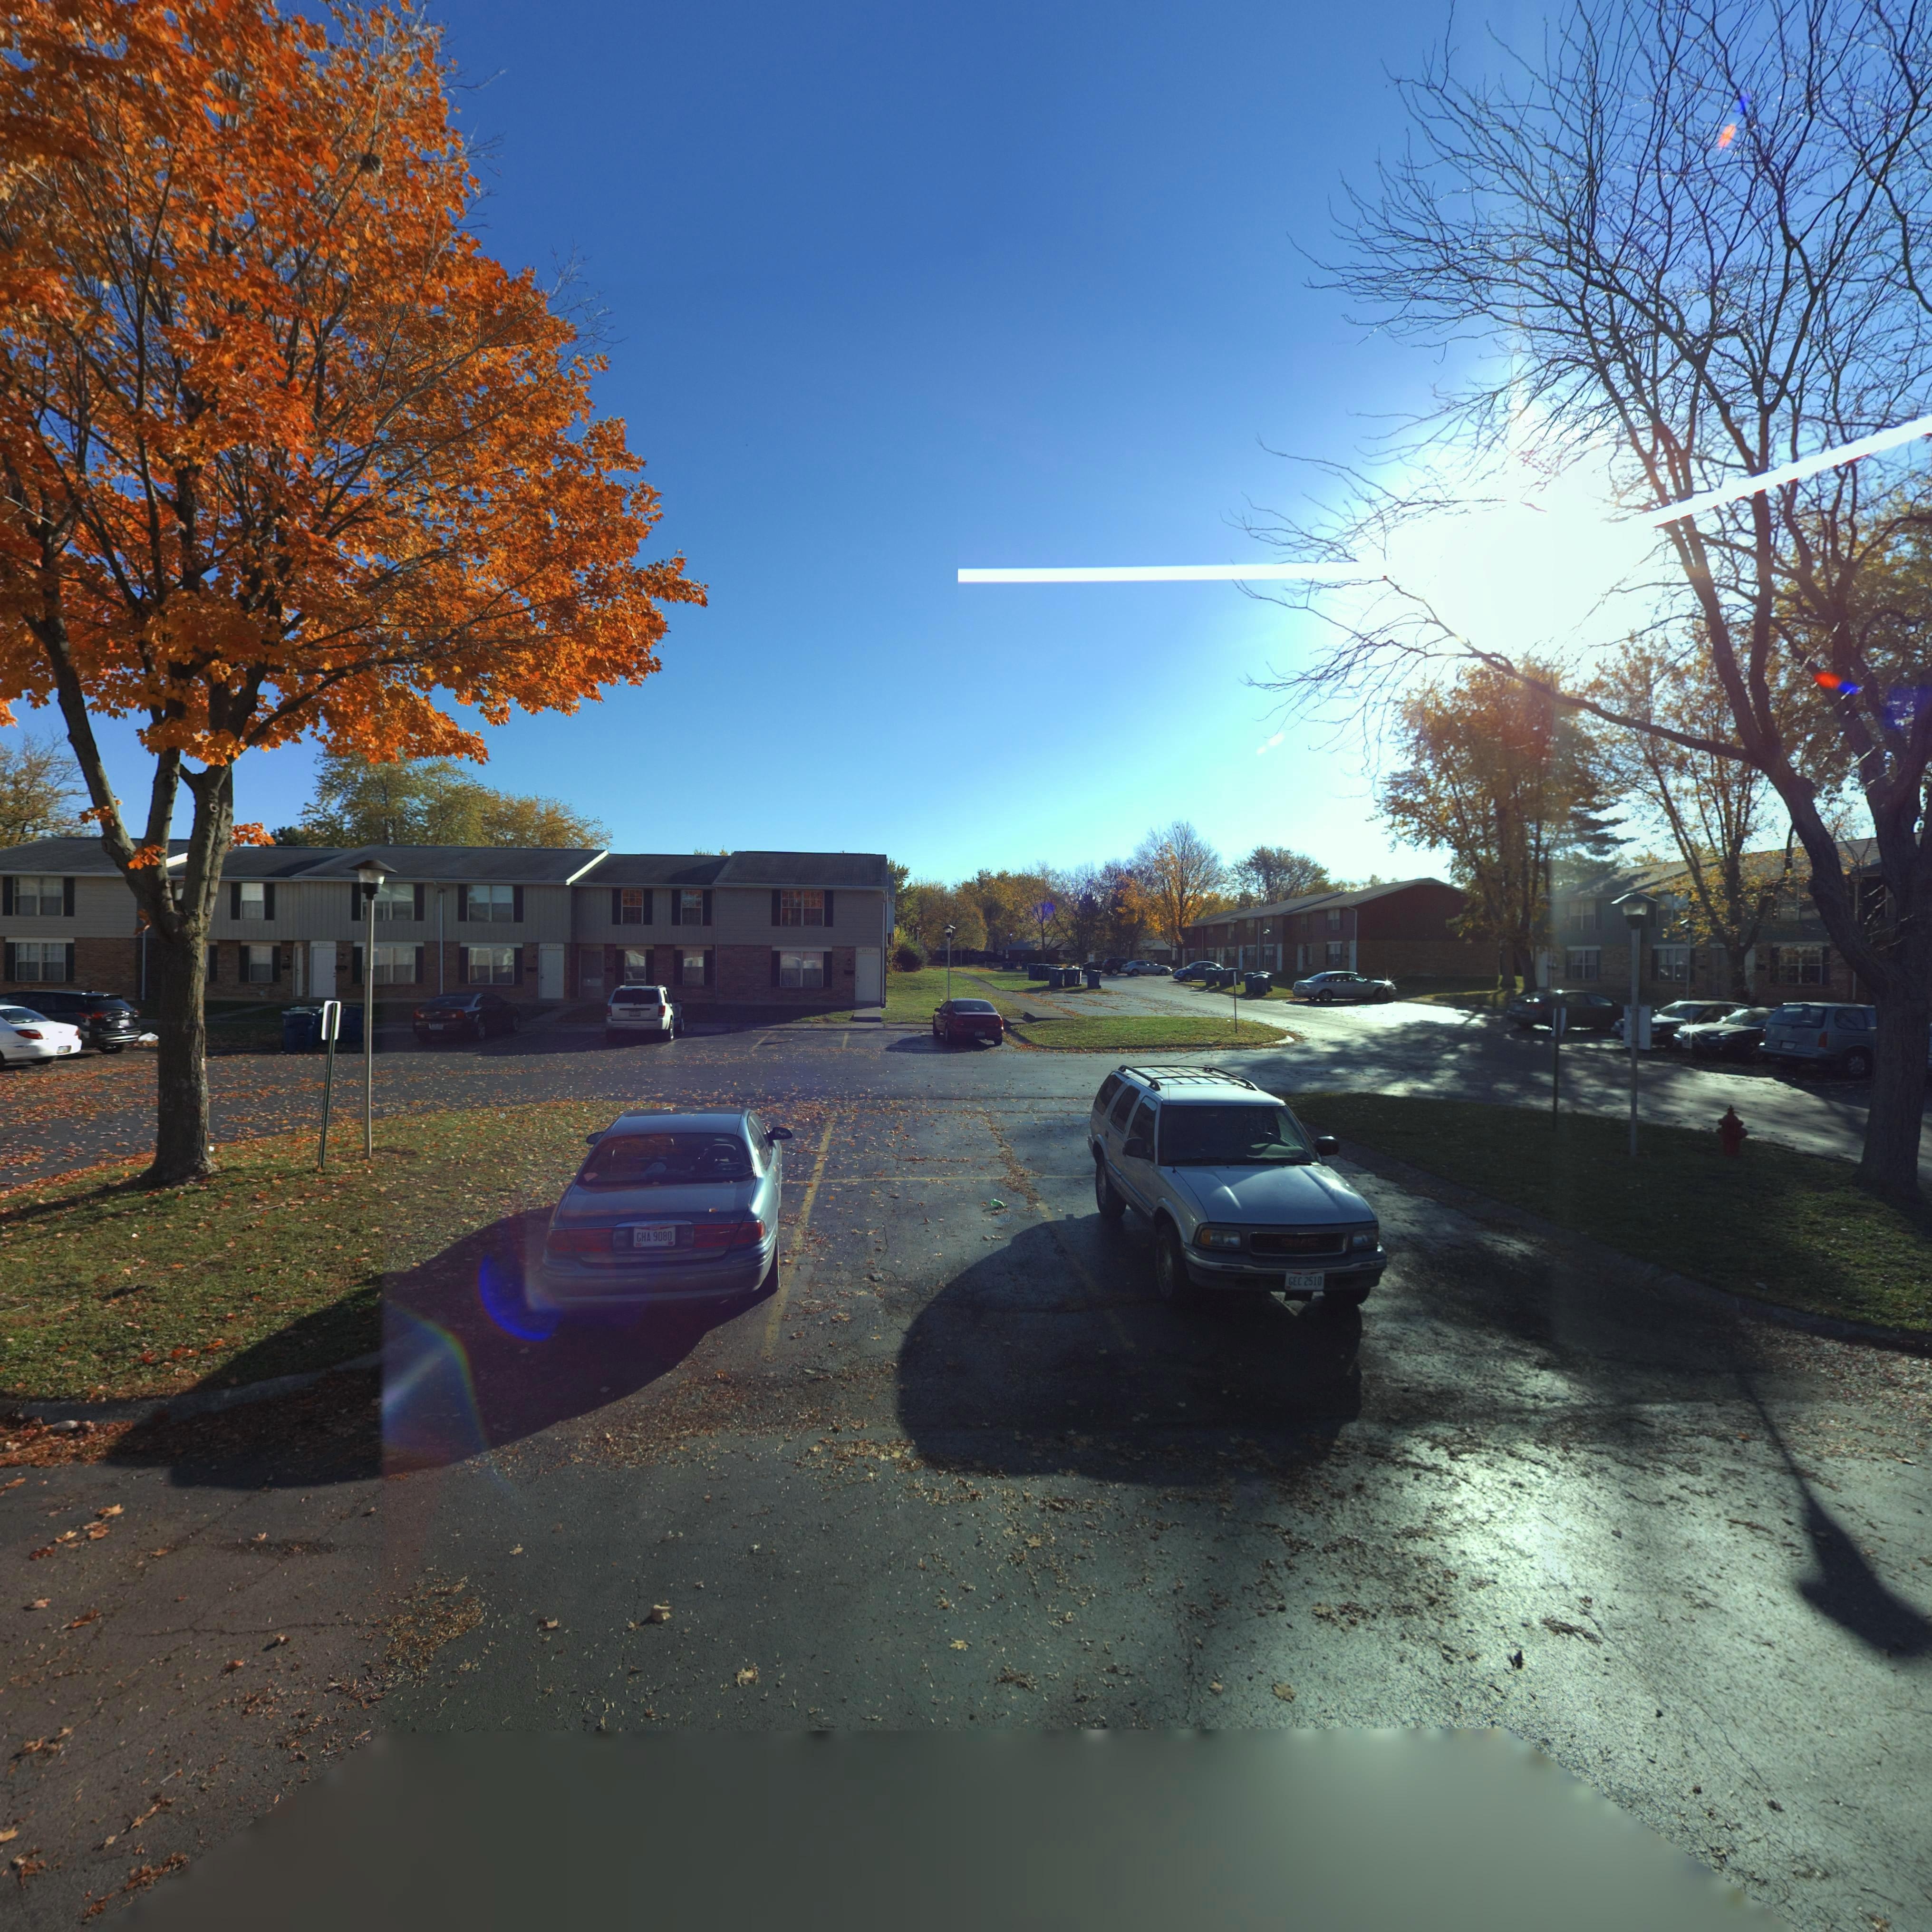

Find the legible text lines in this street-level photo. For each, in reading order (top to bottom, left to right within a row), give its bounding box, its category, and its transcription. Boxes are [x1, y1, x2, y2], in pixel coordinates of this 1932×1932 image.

[548, 944, 554, 948] StreetNumber: 27
[864, 948, 869, 952] StreetNumber: 27